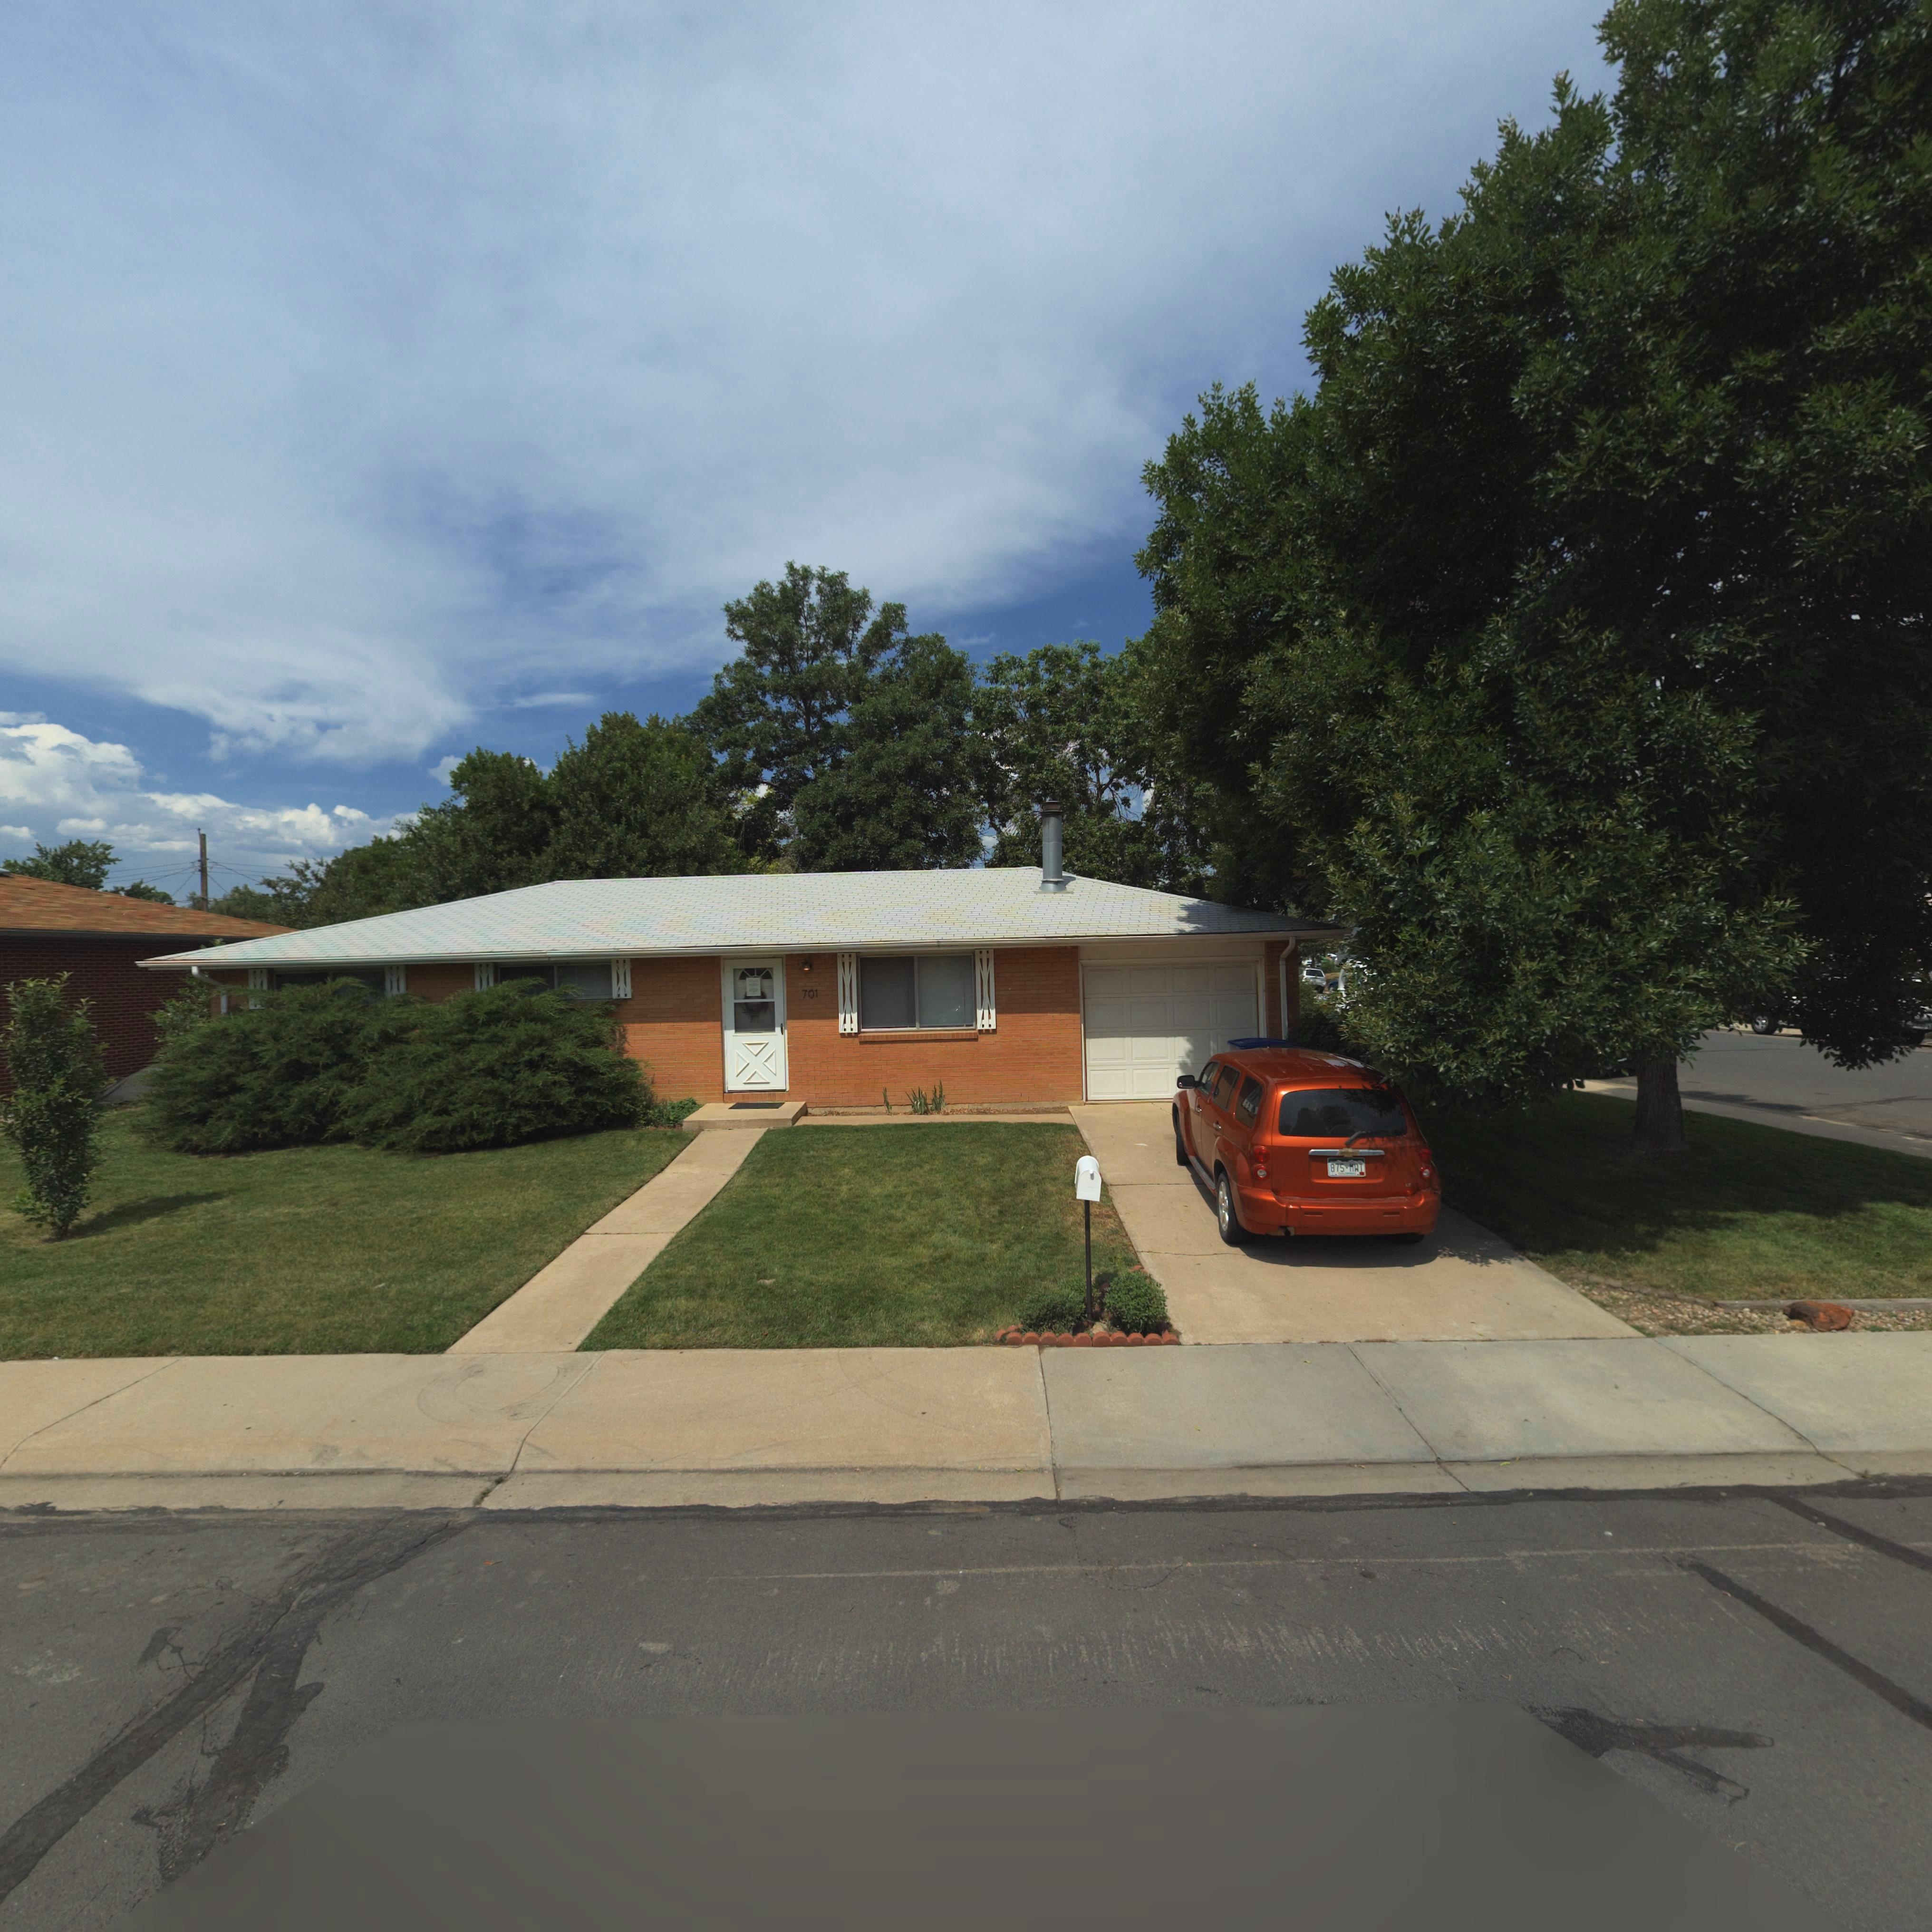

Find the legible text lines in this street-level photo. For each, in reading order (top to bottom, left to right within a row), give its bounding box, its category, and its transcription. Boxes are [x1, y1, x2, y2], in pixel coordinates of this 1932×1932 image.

[801, 988, 818, 999] StreetNumber: 701